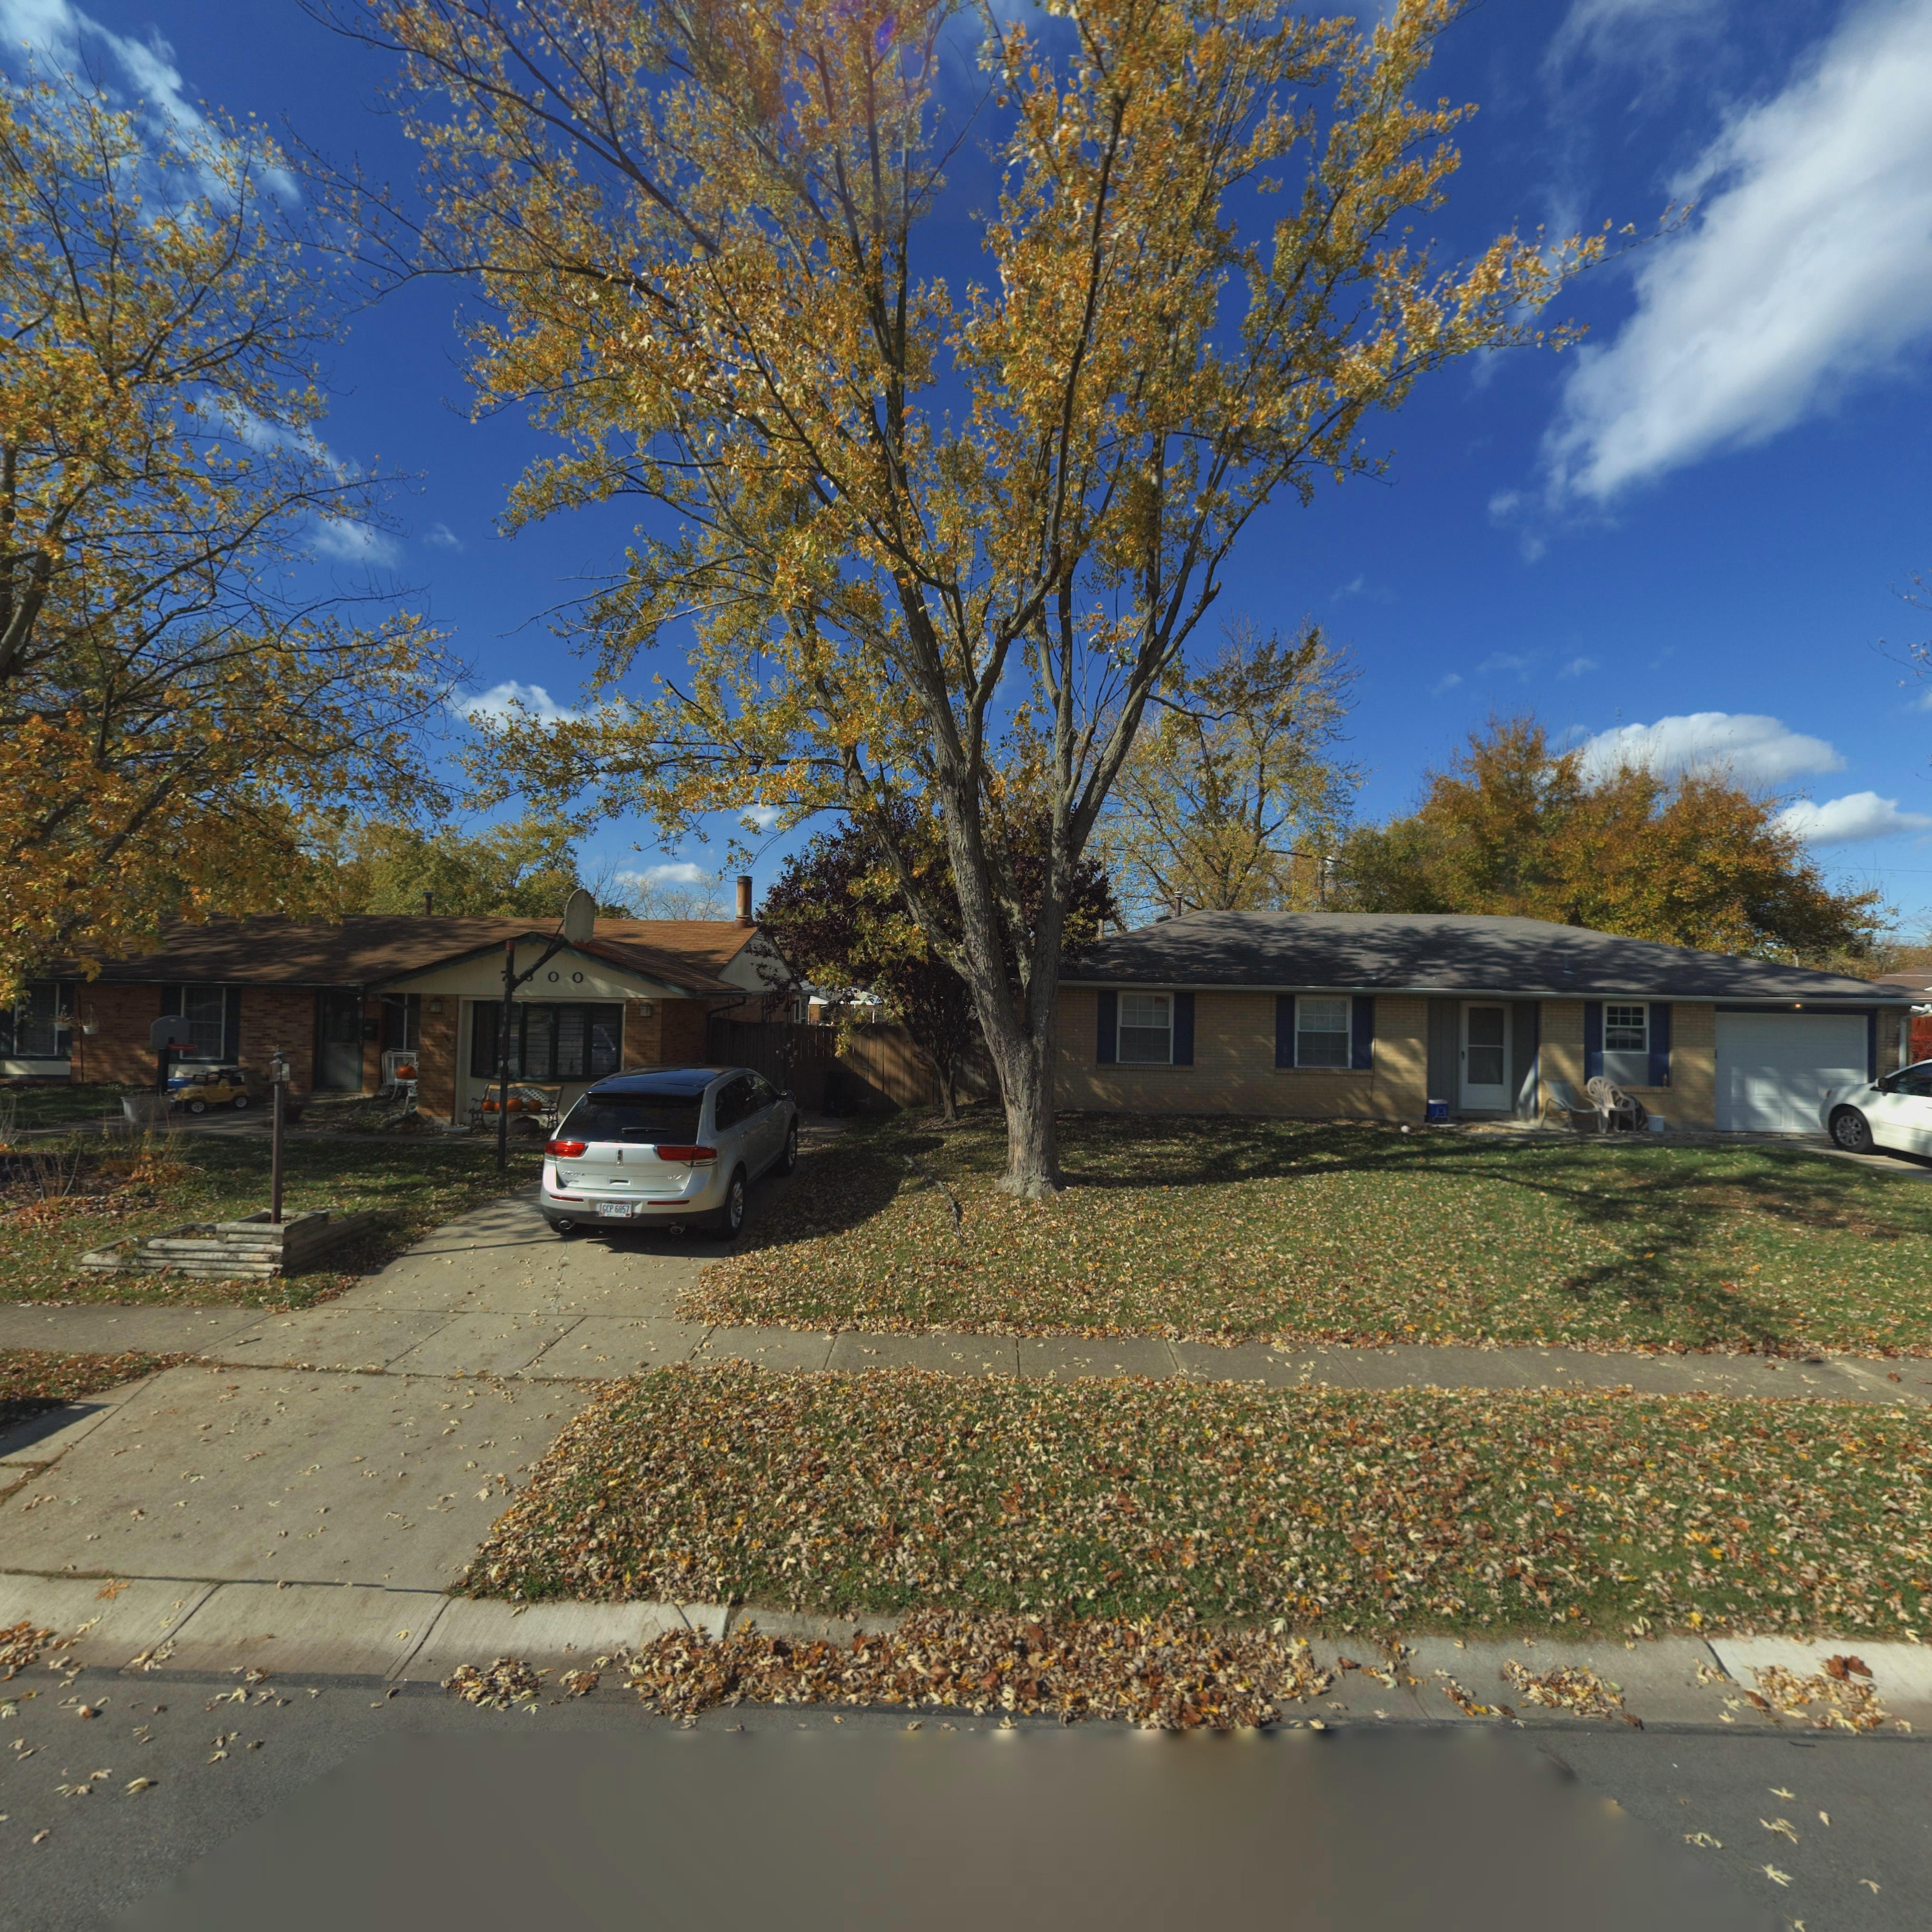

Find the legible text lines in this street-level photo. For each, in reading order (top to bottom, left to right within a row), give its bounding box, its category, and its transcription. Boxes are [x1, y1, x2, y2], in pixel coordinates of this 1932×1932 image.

[547, 970, 585, 985] StreetNumber: 00